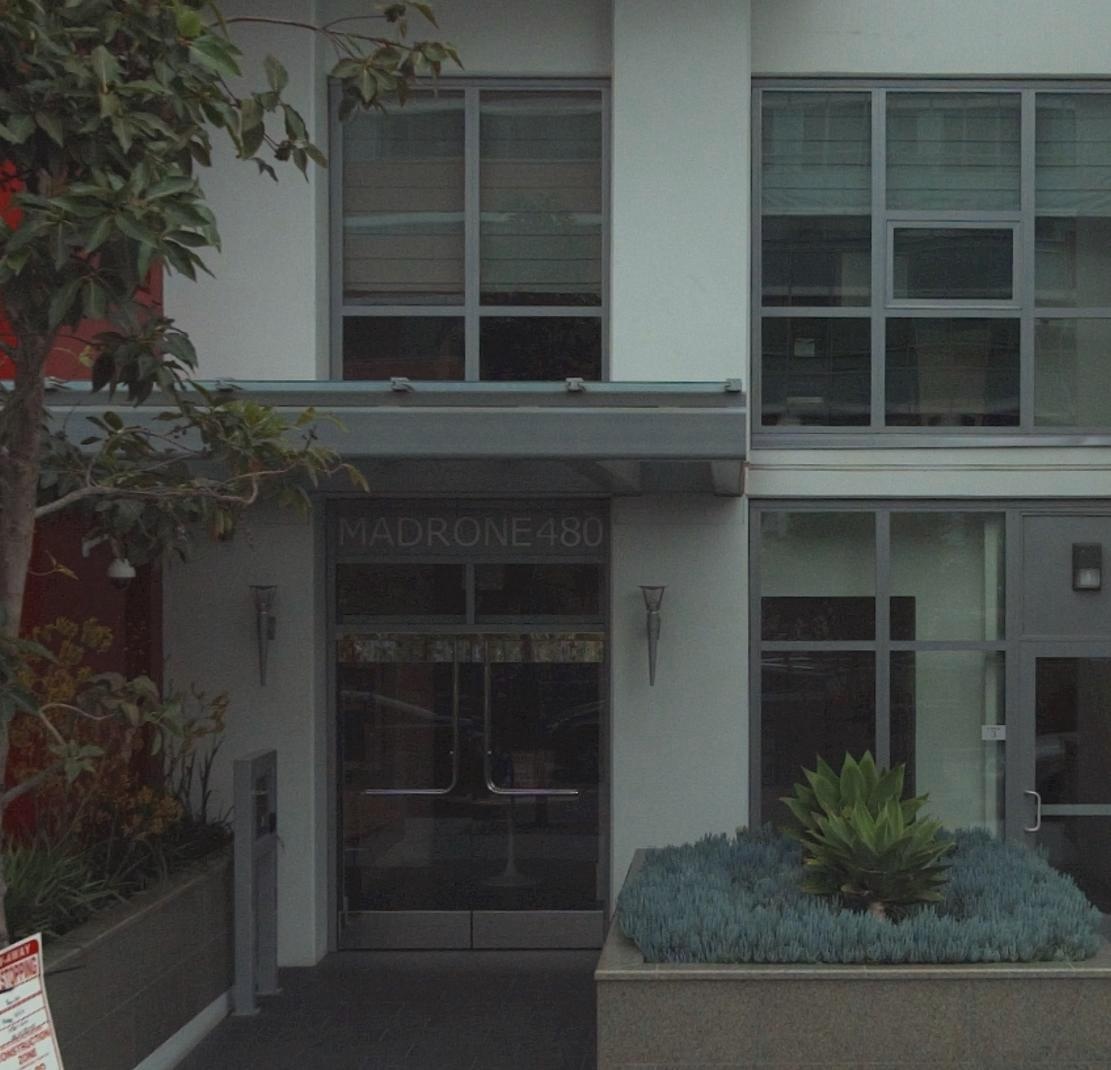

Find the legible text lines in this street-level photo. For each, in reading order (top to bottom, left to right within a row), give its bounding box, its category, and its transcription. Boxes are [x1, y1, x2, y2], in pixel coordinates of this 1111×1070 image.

[337, 514, 534, 550] None: MADRONE
[534, 515, 605, 549] StreetNumber: 480
[3, 938, 34, 966] None: AWAY
[1, 951, 41, 991] None: TOPPING